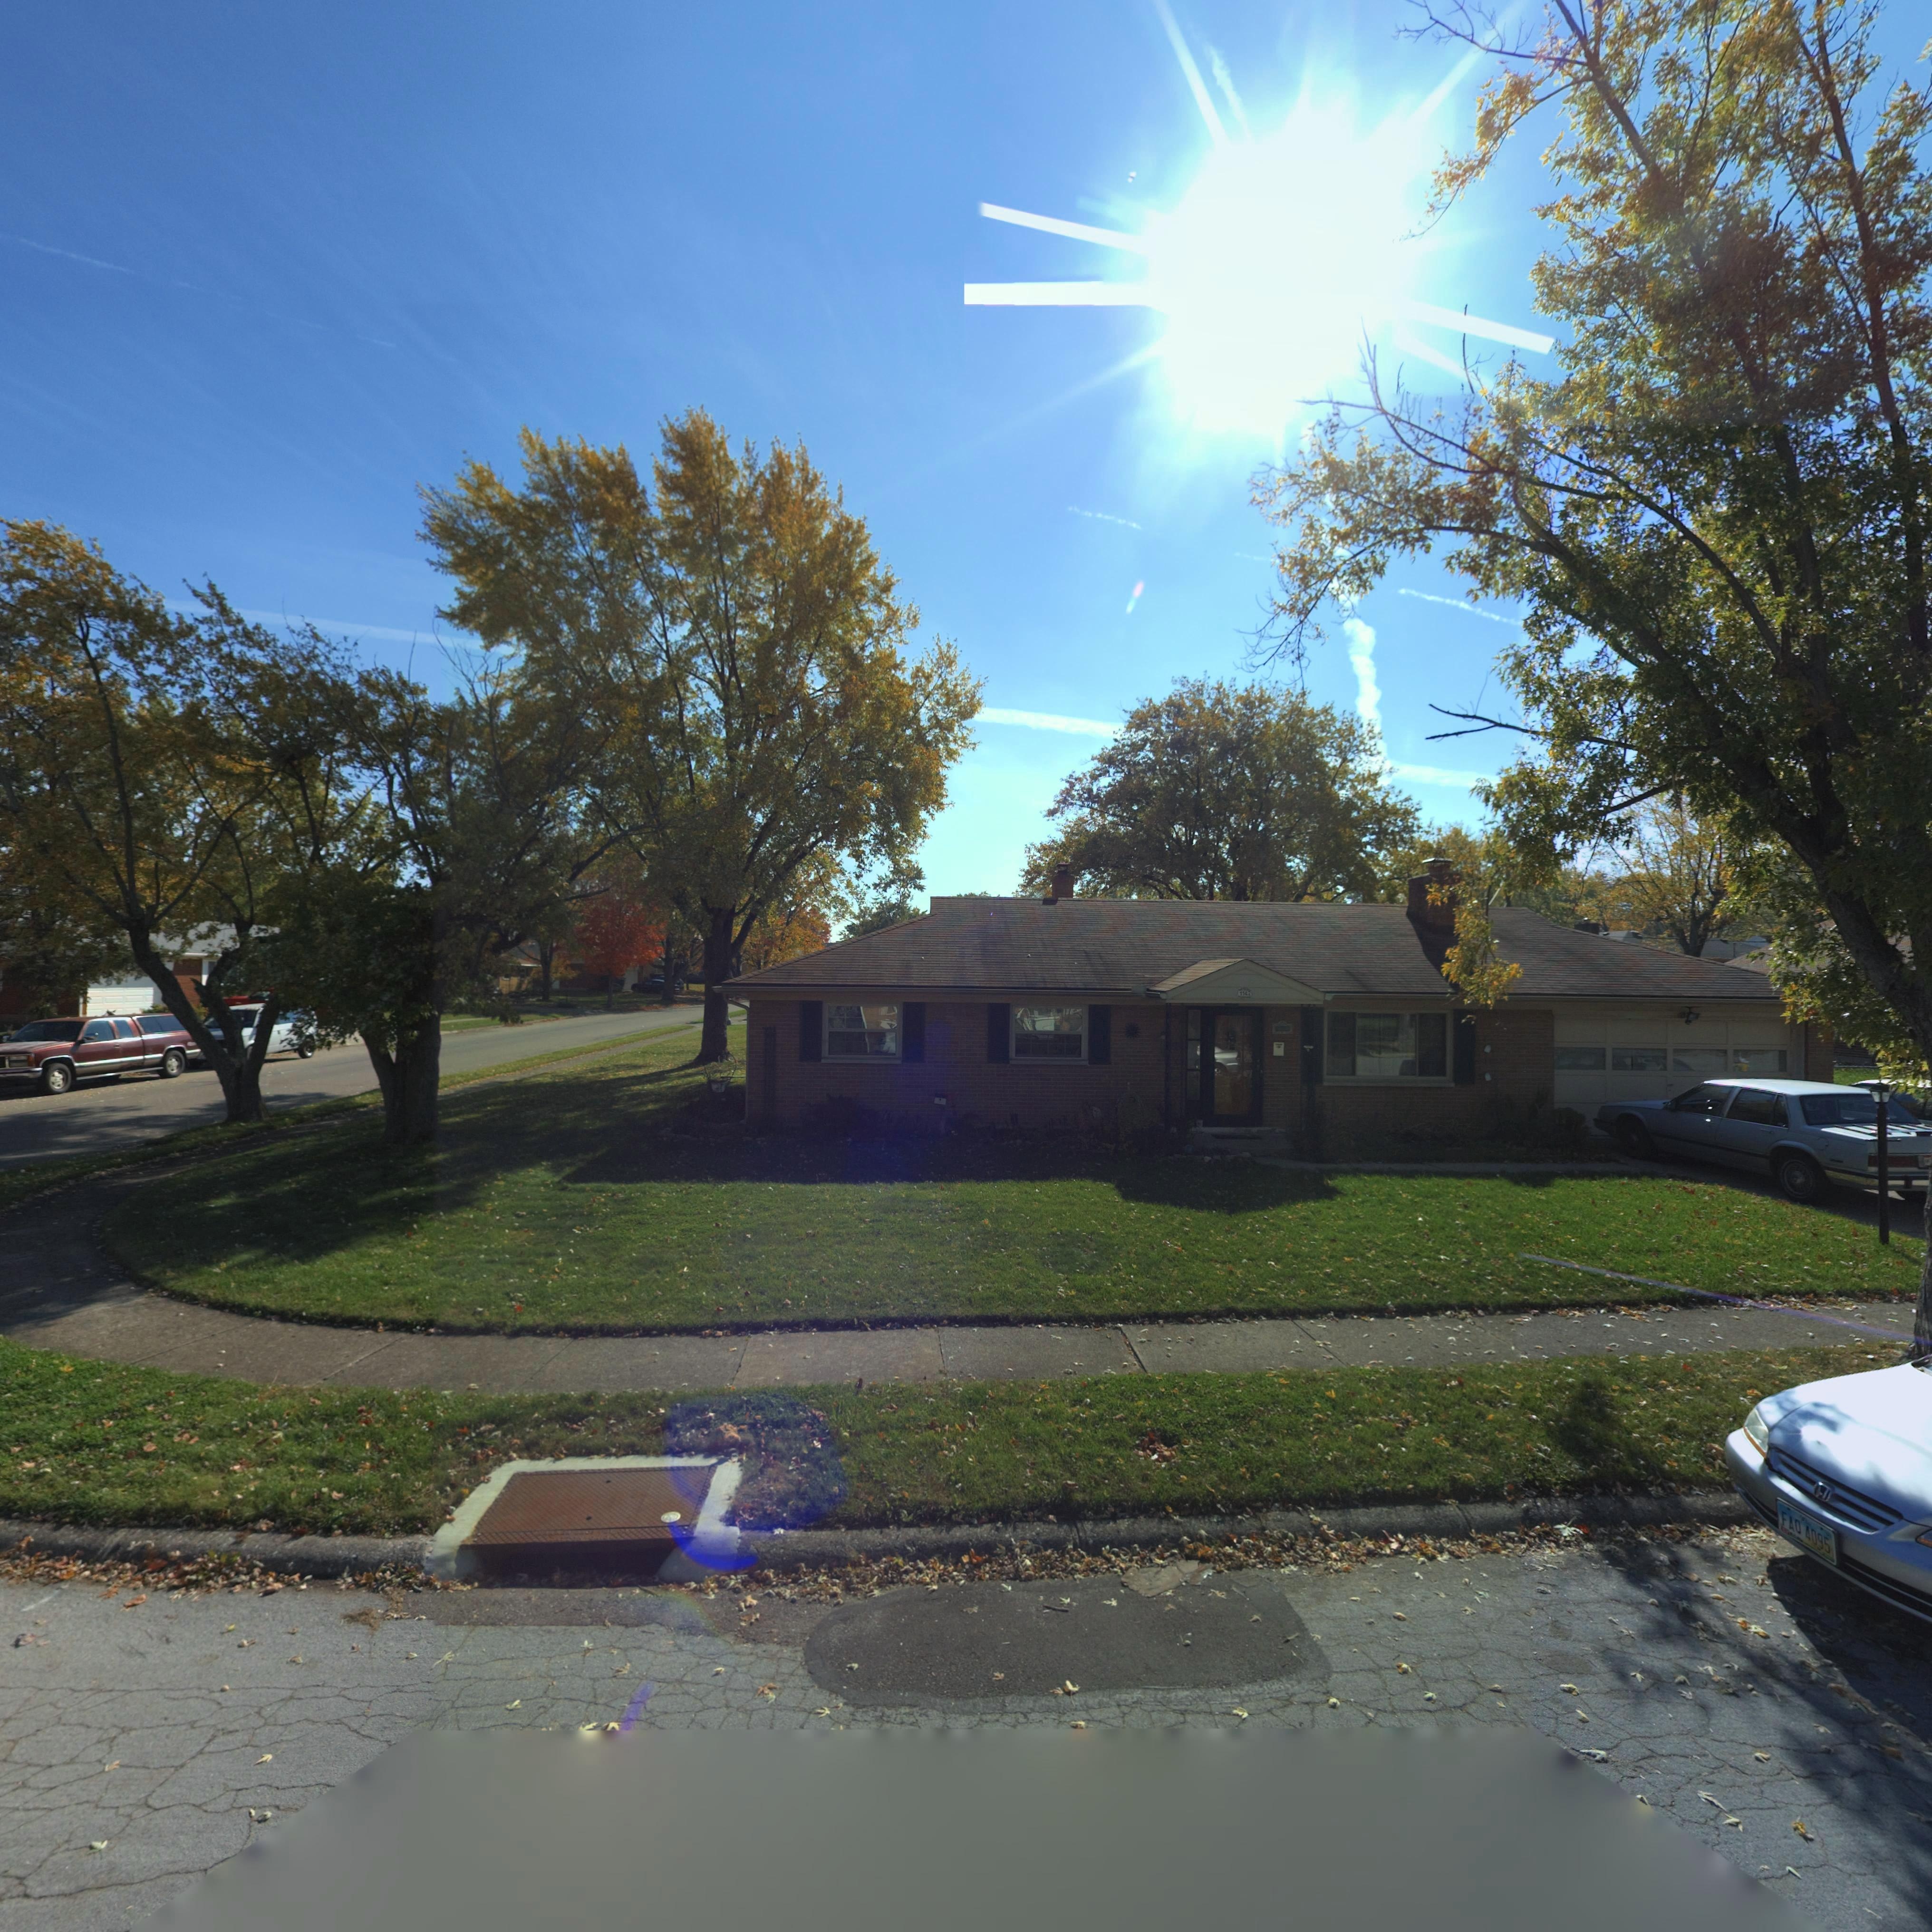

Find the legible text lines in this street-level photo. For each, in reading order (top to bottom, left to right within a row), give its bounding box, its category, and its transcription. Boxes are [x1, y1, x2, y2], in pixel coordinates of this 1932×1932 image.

[1239, 989, 1251, 995] StreetNumber: 1142
[1780, 1509, 1831, 1555] None: FAQ 4095